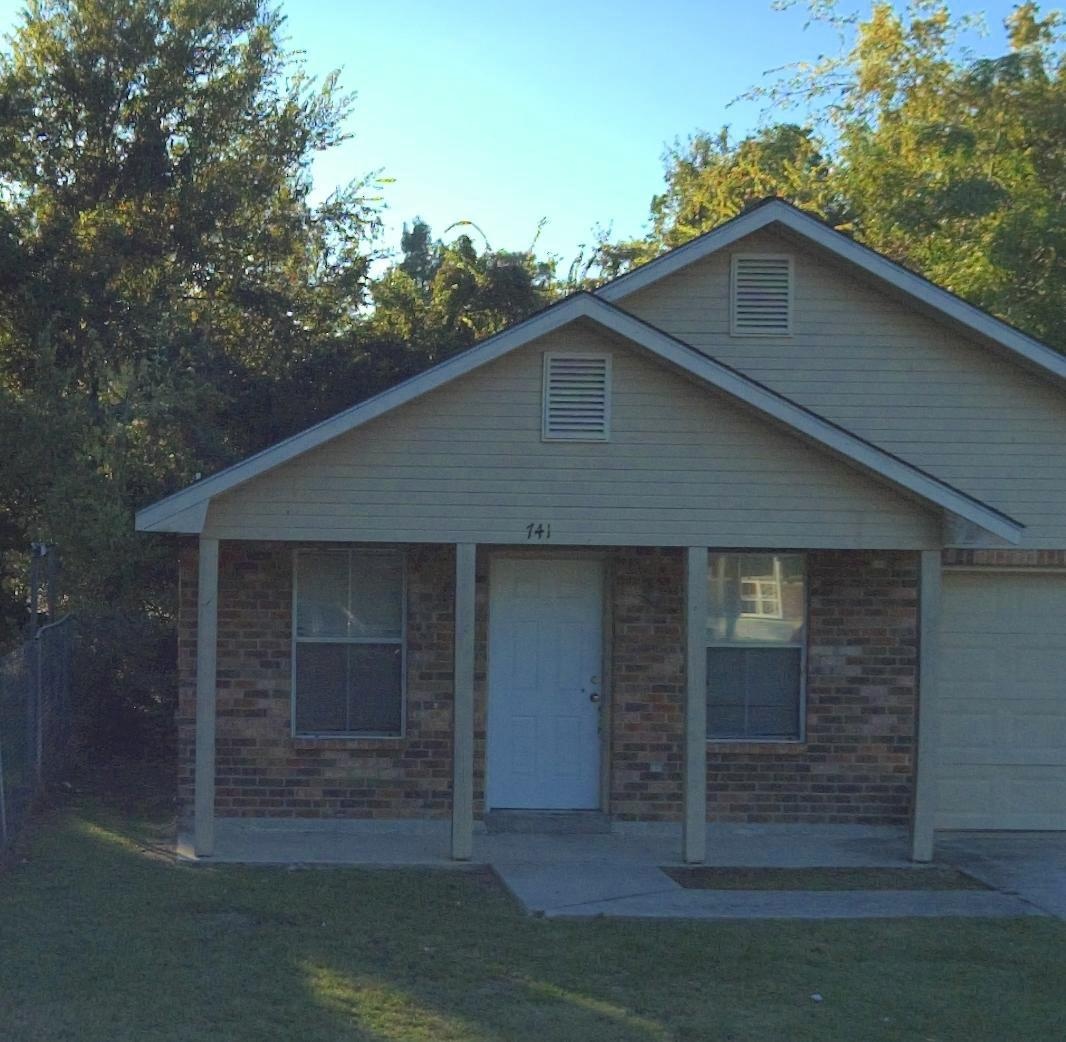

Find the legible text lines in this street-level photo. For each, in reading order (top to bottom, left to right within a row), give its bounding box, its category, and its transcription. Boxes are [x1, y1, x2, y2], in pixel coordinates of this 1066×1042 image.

[524, 520, 553, 542] StreetNumber: 741